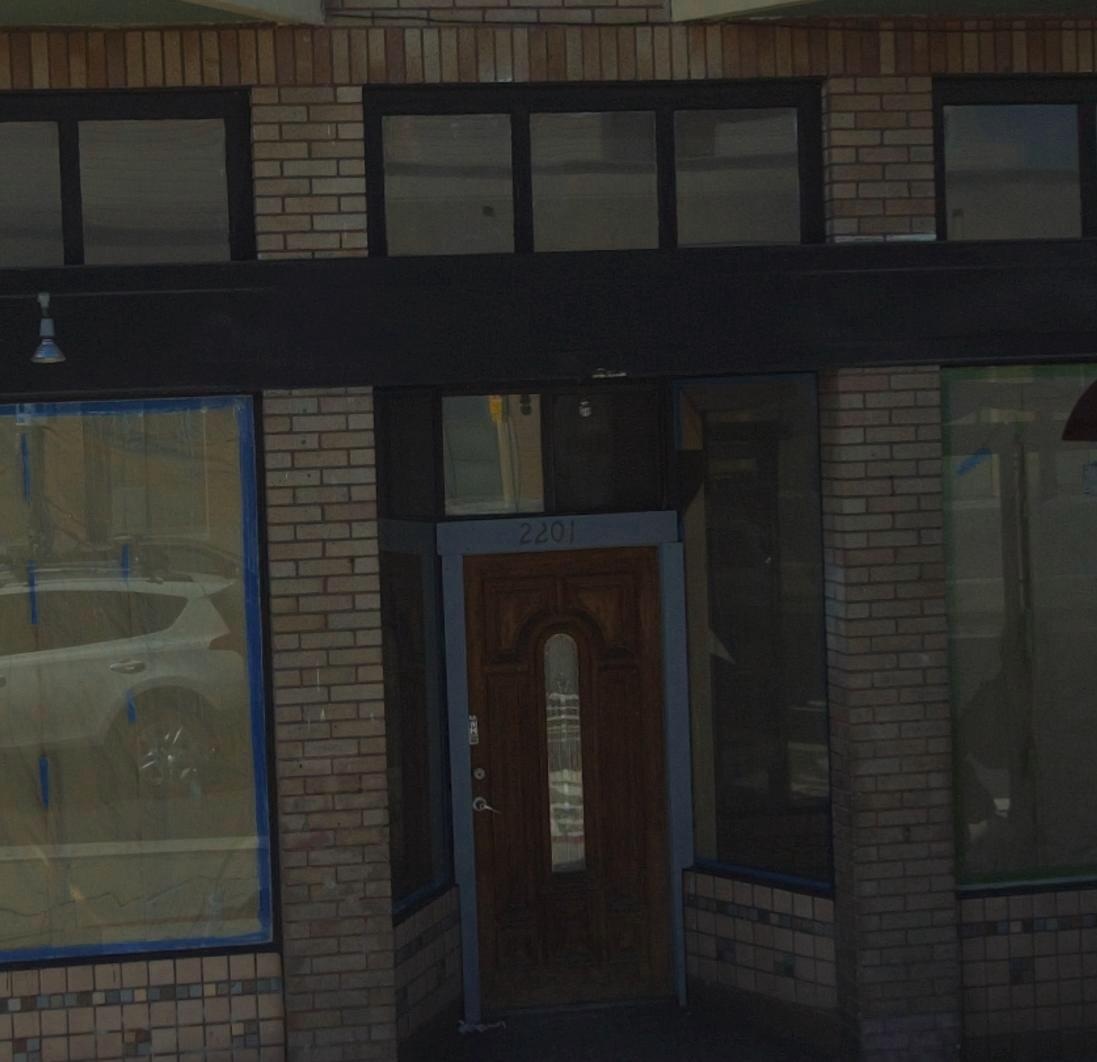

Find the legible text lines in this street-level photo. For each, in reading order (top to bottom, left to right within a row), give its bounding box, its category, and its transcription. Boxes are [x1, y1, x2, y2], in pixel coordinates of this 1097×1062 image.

[517, 517, 577, 546] StreetNumber: 2201